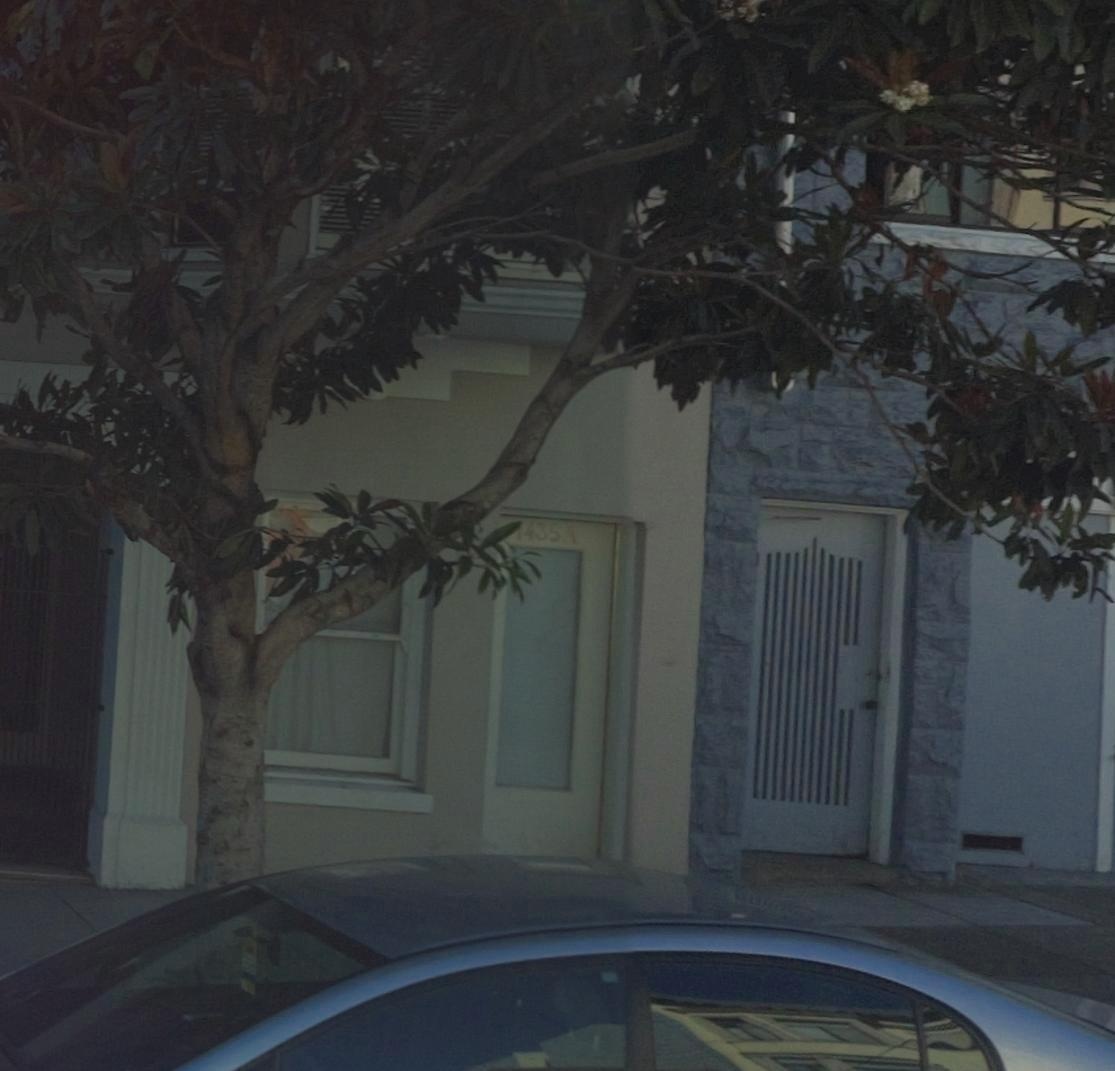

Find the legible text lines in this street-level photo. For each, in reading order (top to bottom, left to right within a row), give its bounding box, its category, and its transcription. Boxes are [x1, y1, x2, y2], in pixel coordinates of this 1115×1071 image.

[516, 520, 579, 547] StreetNumber: 1435A